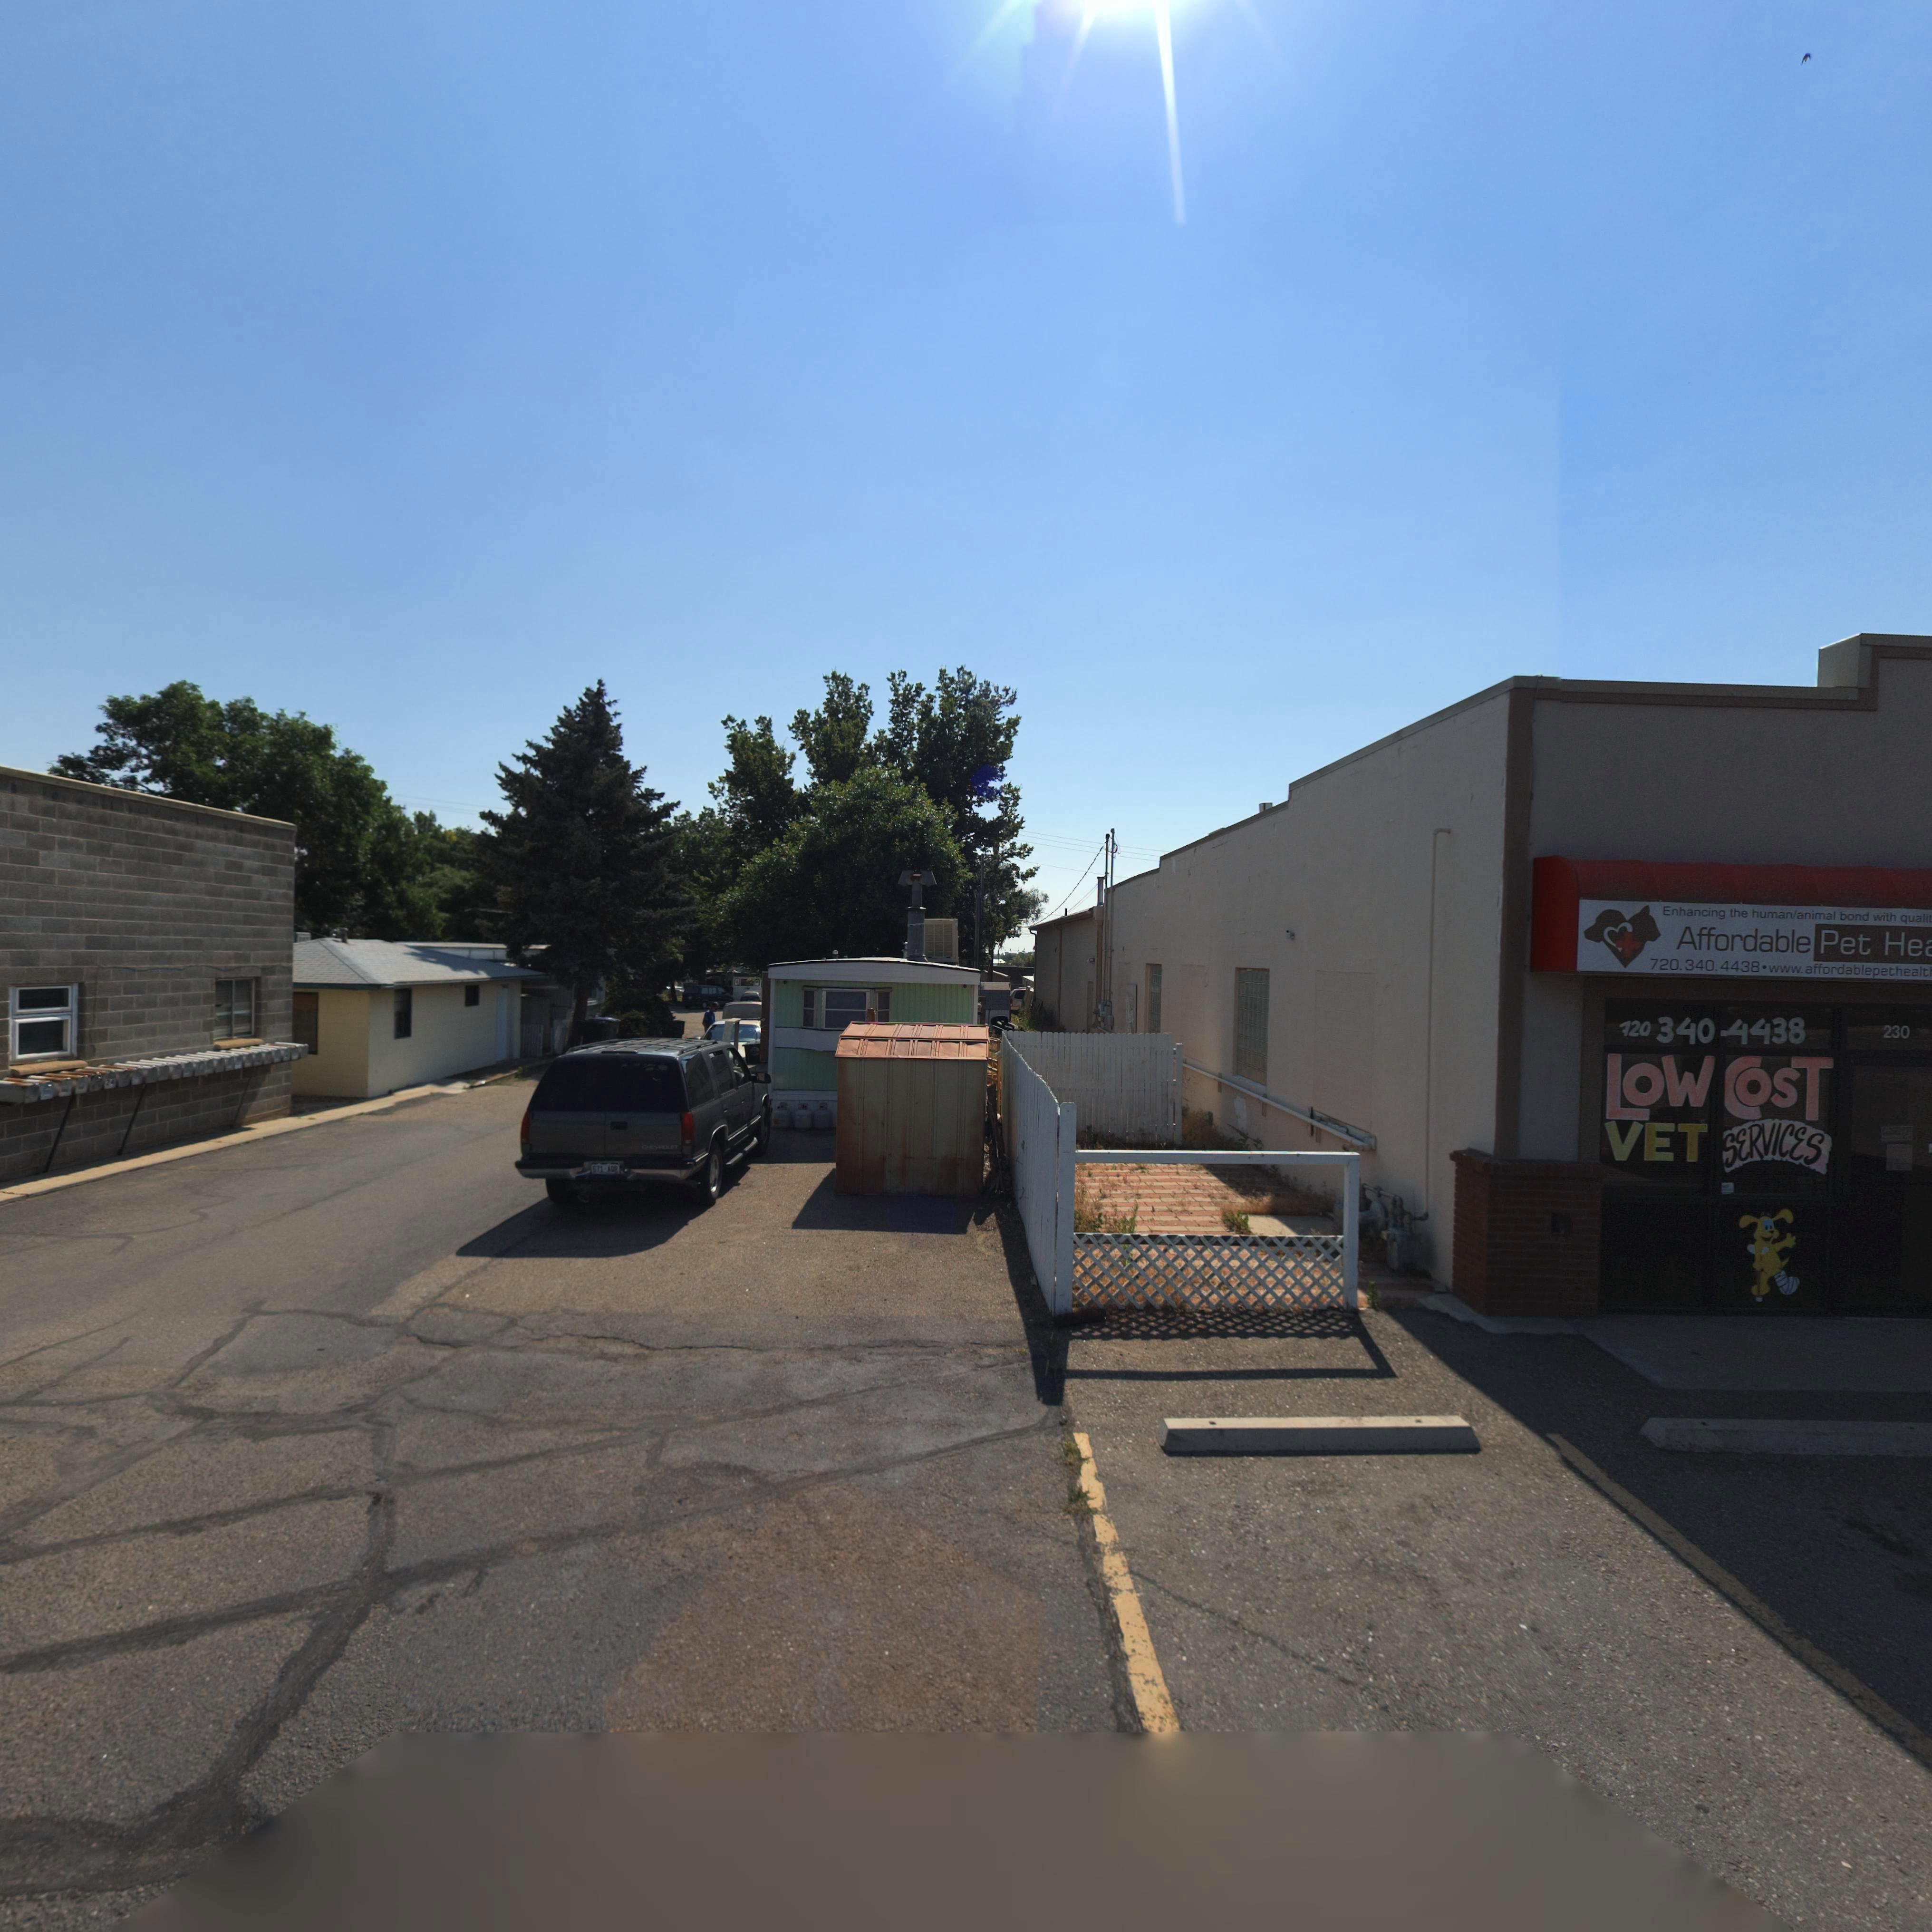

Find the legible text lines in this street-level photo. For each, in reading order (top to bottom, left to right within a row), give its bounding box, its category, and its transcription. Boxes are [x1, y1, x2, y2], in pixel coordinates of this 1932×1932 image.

[1675, 925, 1924, 958] BusinessName: Affordable Pet He
[1882, 1024, 1911, 1039] StreetNumber: 230